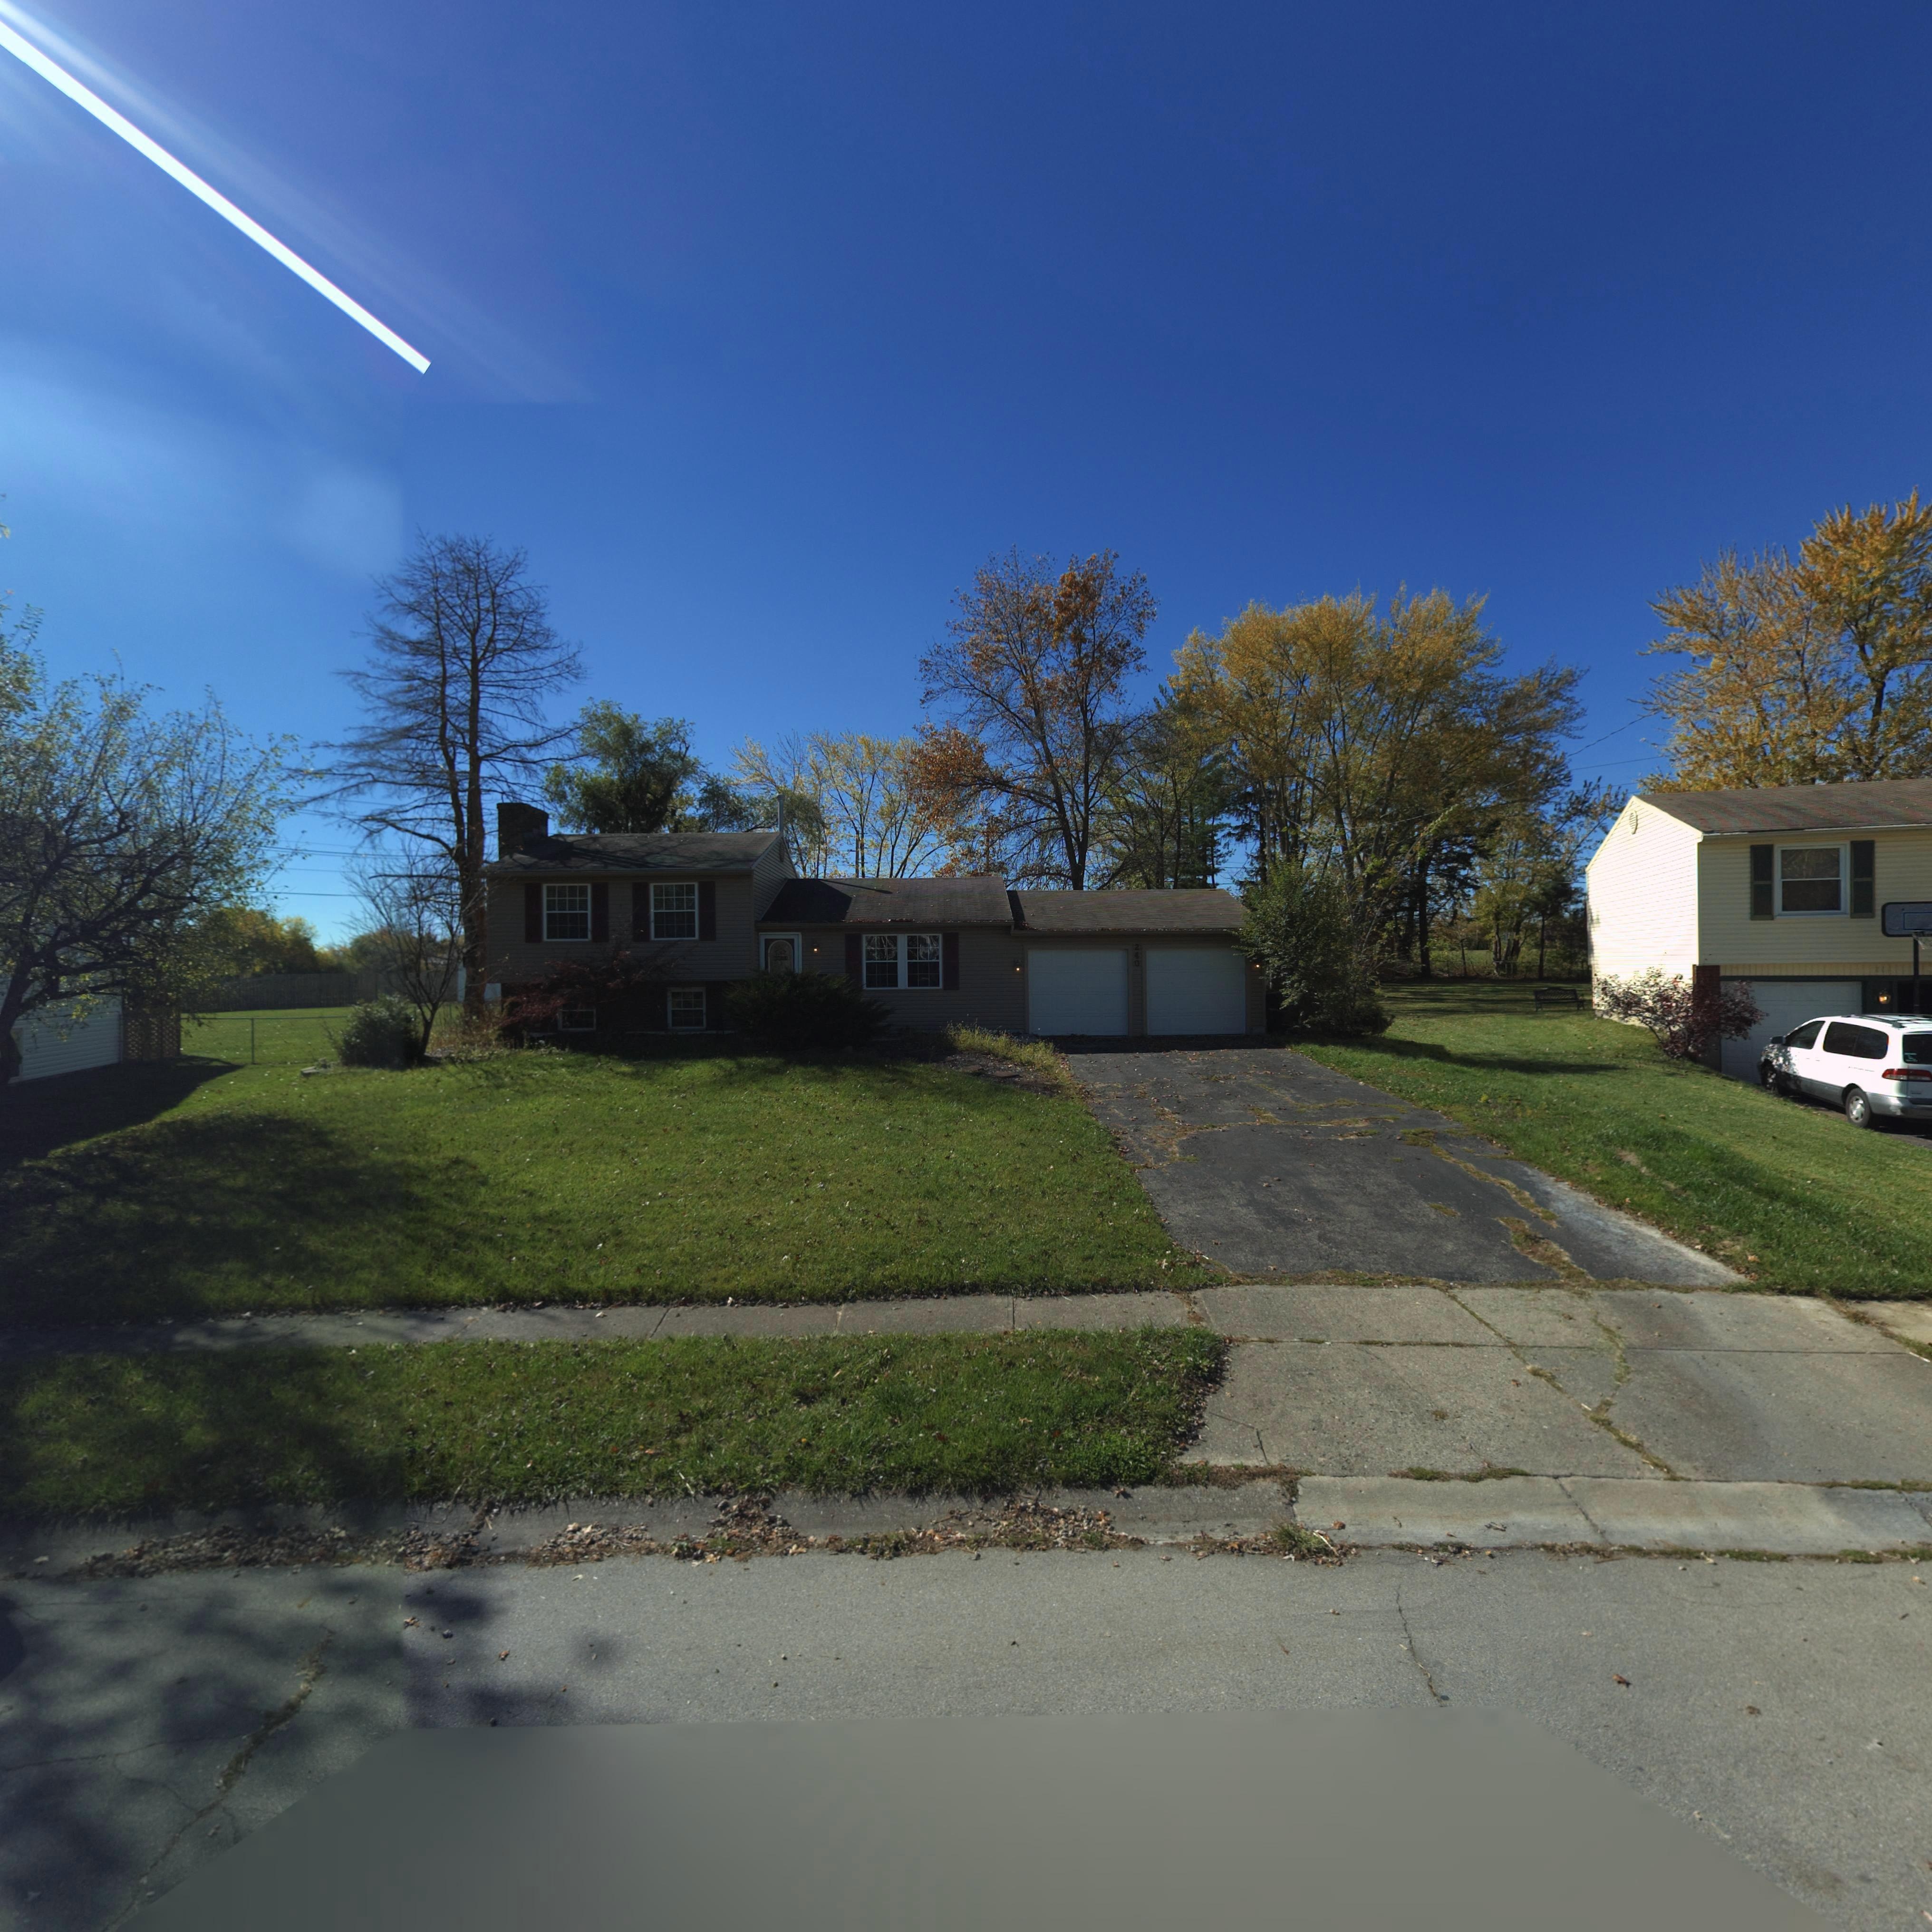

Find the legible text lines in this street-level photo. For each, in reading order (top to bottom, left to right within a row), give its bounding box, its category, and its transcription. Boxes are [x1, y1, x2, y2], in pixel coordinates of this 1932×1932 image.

[1134, 943, 1140, 967] StreetNumber: 240